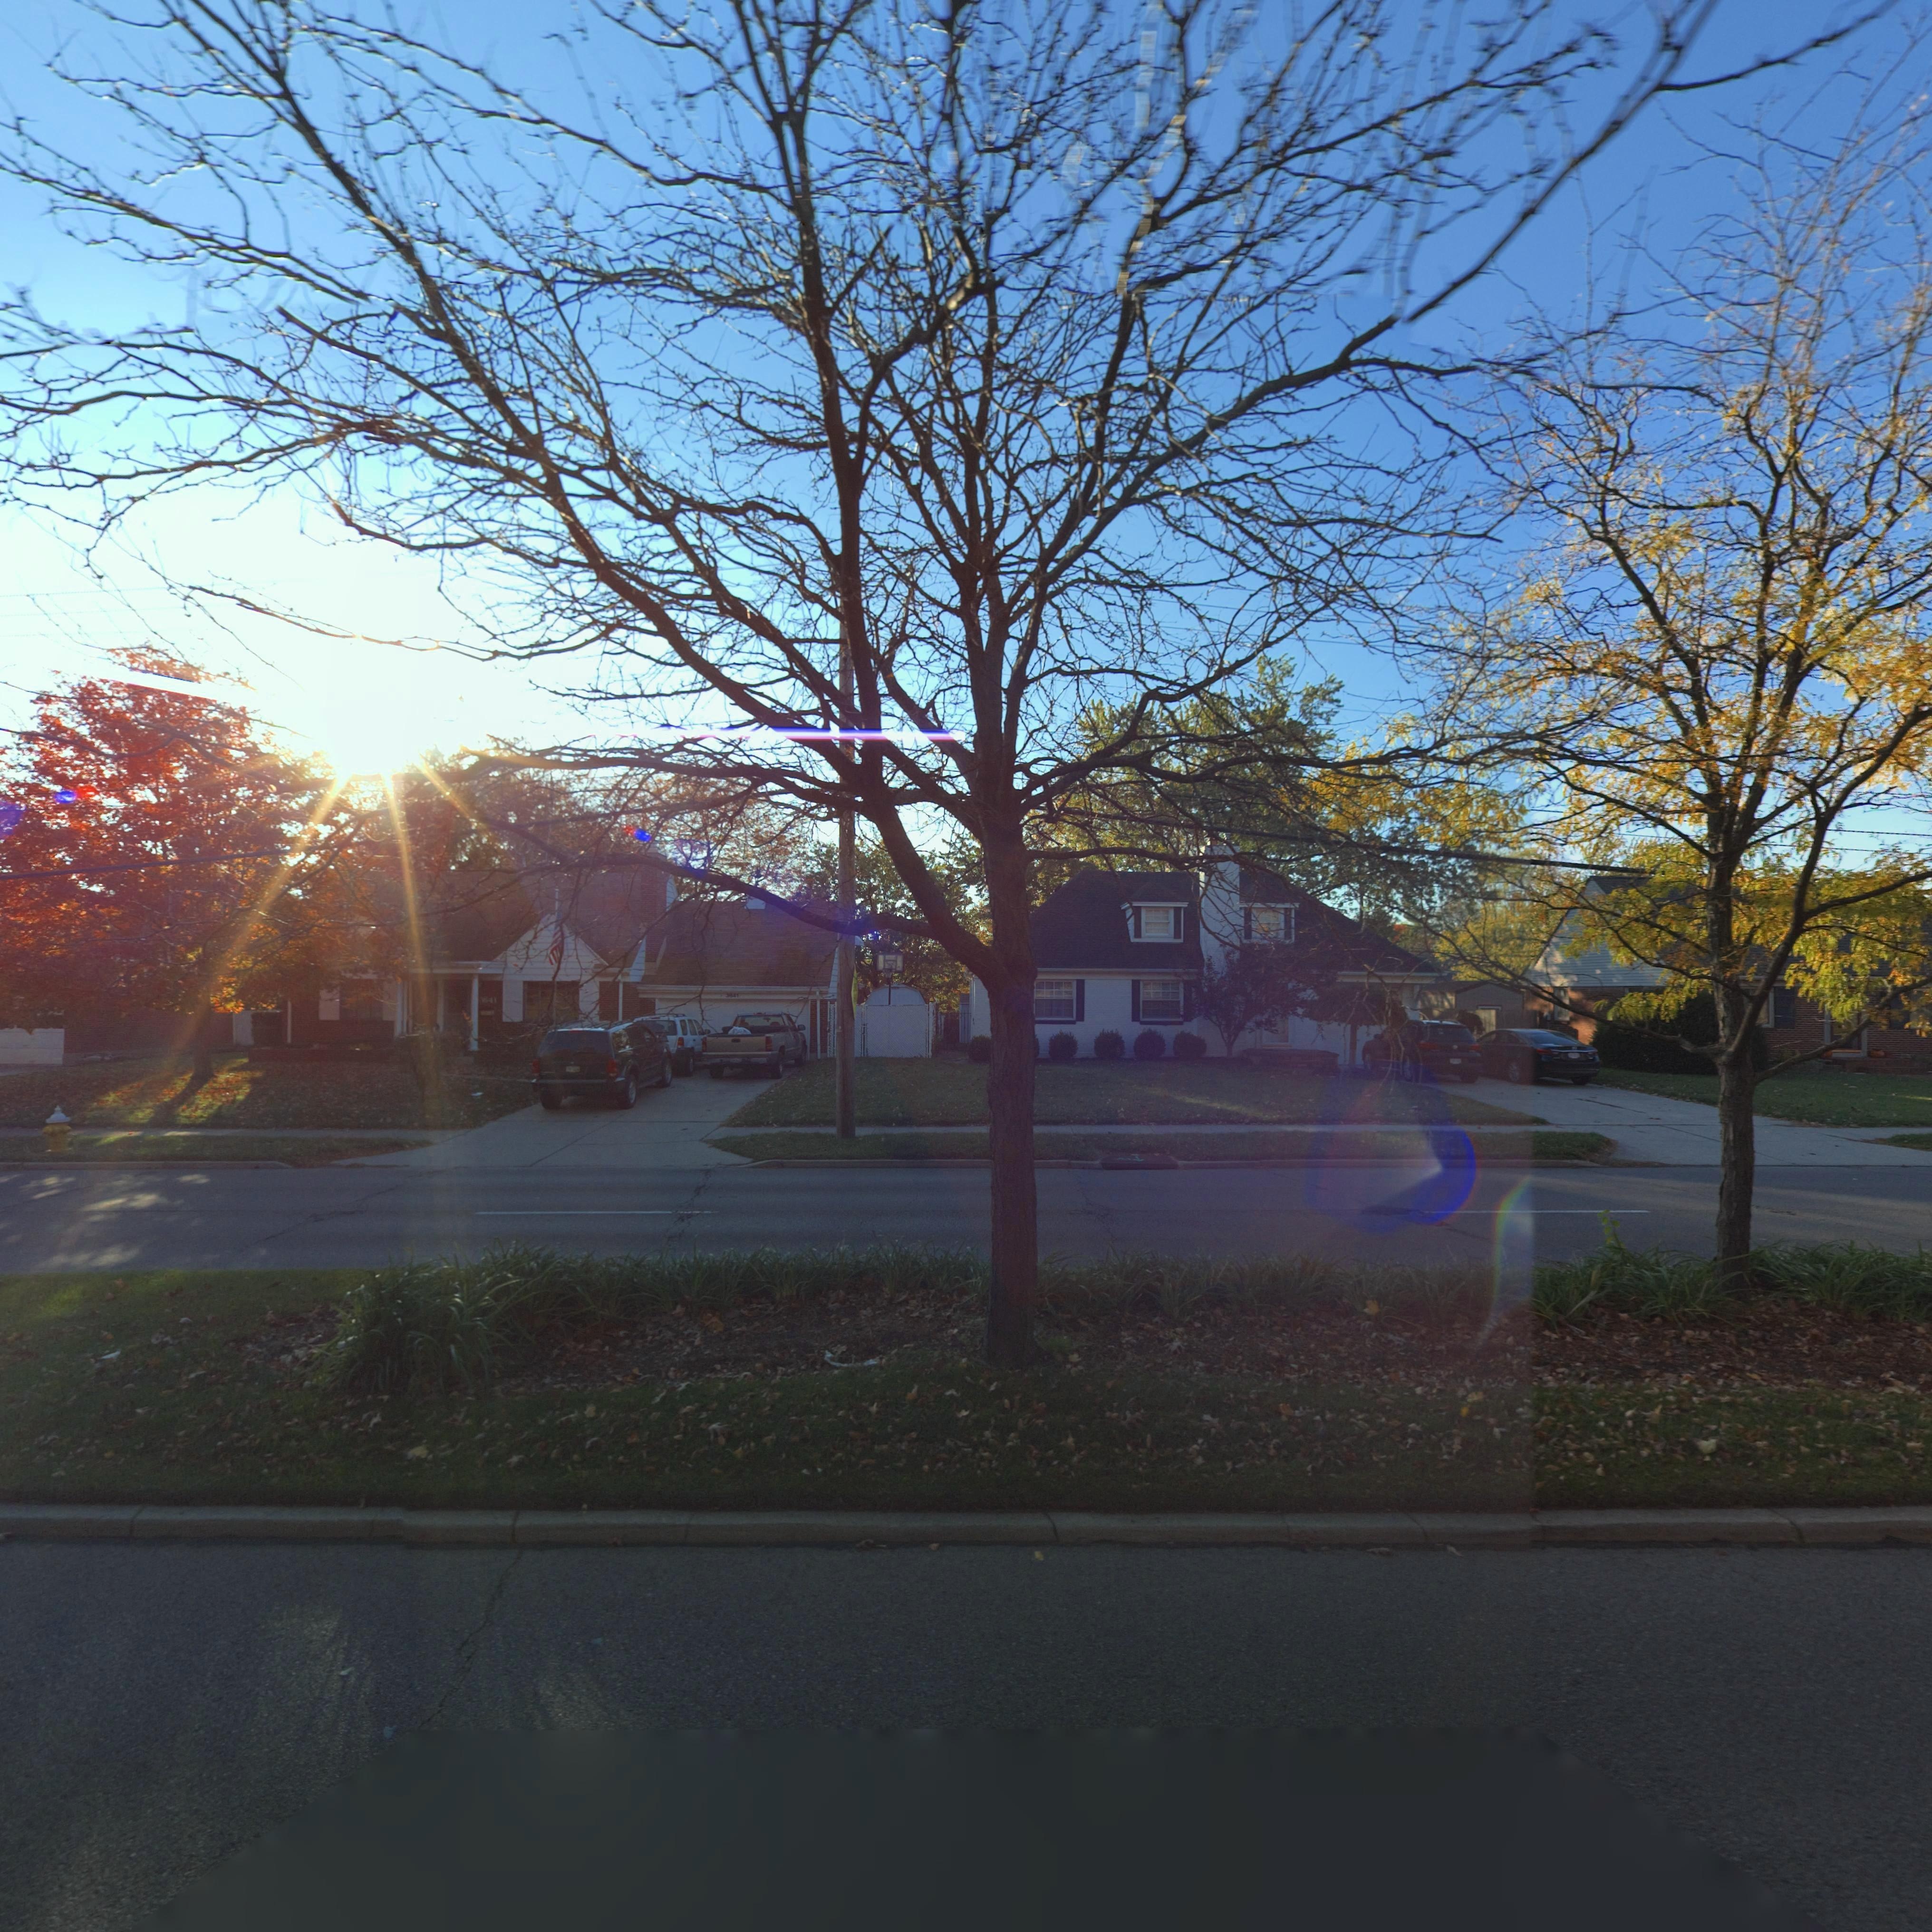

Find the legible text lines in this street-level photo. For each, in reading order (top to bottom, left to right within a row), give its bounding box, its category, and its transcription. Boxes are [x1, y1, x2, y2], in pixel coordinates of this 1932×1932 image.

[488, 995, 497, 1004] StreetNumber: 41
[725, 992, 739, 998] StreetNumber: 3641